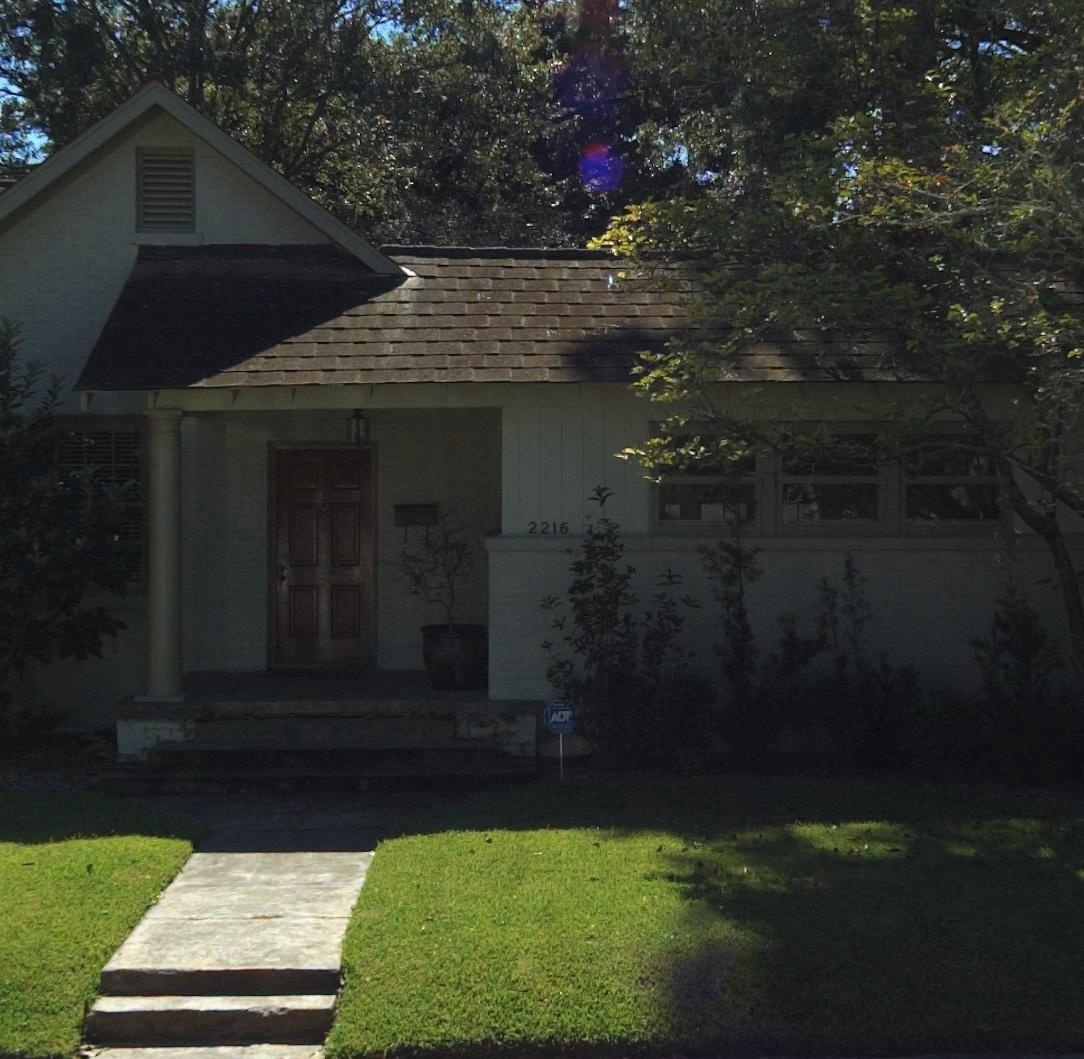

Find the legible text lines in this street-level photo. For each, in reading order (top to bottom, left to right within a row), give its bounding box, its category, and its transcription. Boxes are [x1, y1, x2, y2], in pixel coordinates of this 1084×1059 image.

[526, 519, 571, 537] StreetNumber: 2216
[547, 708, 574, 725] None: ADT